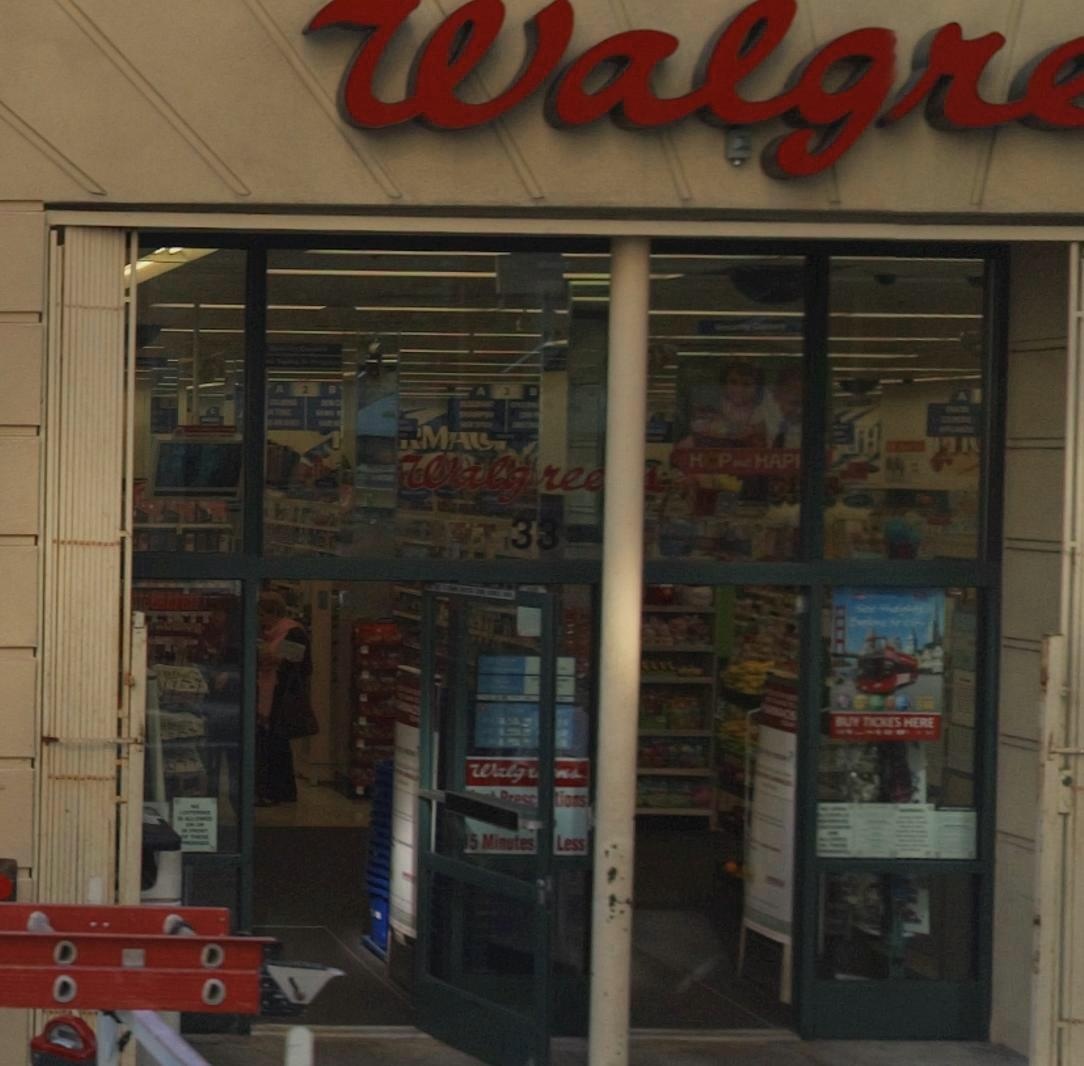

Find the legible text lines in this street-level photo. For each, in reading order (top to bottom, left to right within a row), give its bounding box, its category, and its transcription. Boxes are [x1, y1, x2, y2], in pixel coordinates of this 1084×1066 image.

[300, 0, 1010, 181] BusinessName: Walgr
[275, 383, 285, 394] None: A
[302, 384, 309, 395] None: 2
[328, 385, 336, 395] None: B
[475, 386, 487, 397] None: A
[502, 386, 511, 396] None: 3
[529, 385, 538, 397] None: B
[955, 391, 968, 402] None: A
[422, 424, 448, 449] None: M
[862, 425, 880, 455] None: H
[688, 447, 795, 470] None: H*P***HAP
[400, 453, 604, 503] BusinessName: Walgree\
[511, 516, 560, 551] StreetNumber: 33
[833, 716, 935, 728] None: BUY TICKETES HERE
[469, 762, 585, 785] BusinessName: Walgr**ns
[554, 790, 586, 808] None: tions
[470, 833, 586, 851] None: 5 Minutes Less